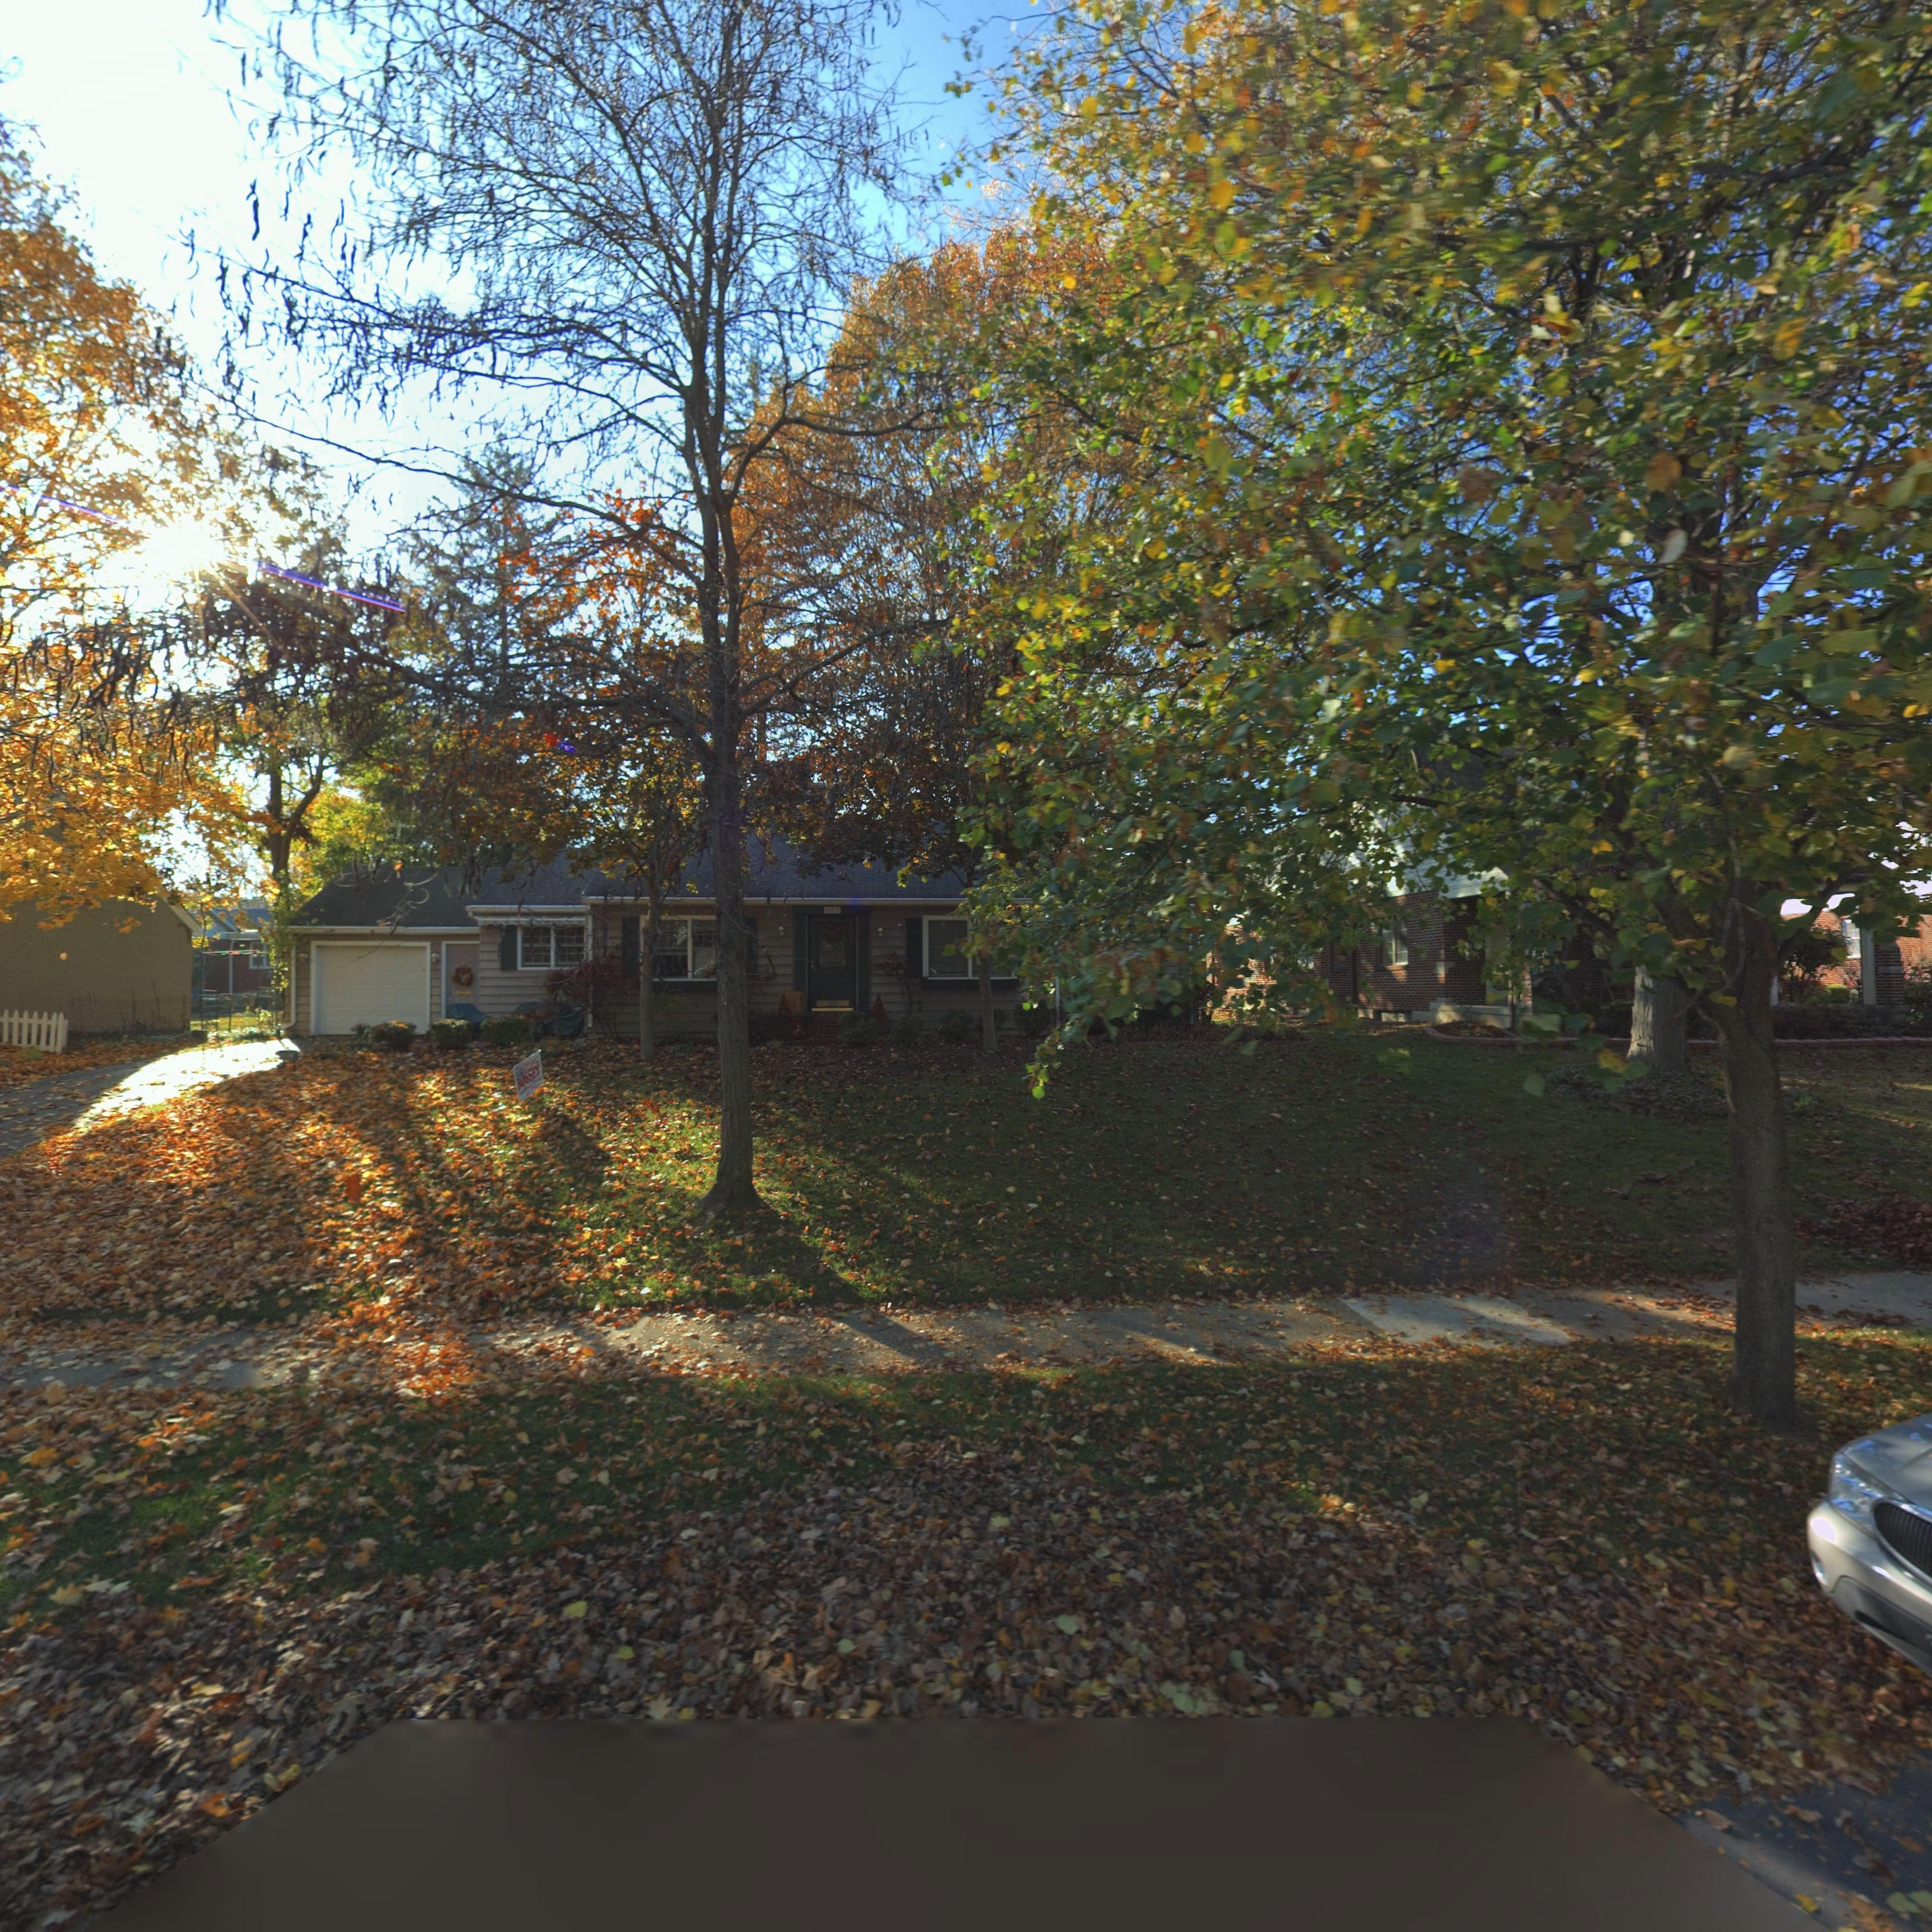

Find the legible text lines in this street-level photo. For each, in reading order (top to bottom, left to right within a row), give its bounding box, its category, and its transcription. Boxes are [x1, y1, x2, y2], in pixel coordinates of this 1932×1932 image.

[825, 907, 839, 912] StreetNumber: 583